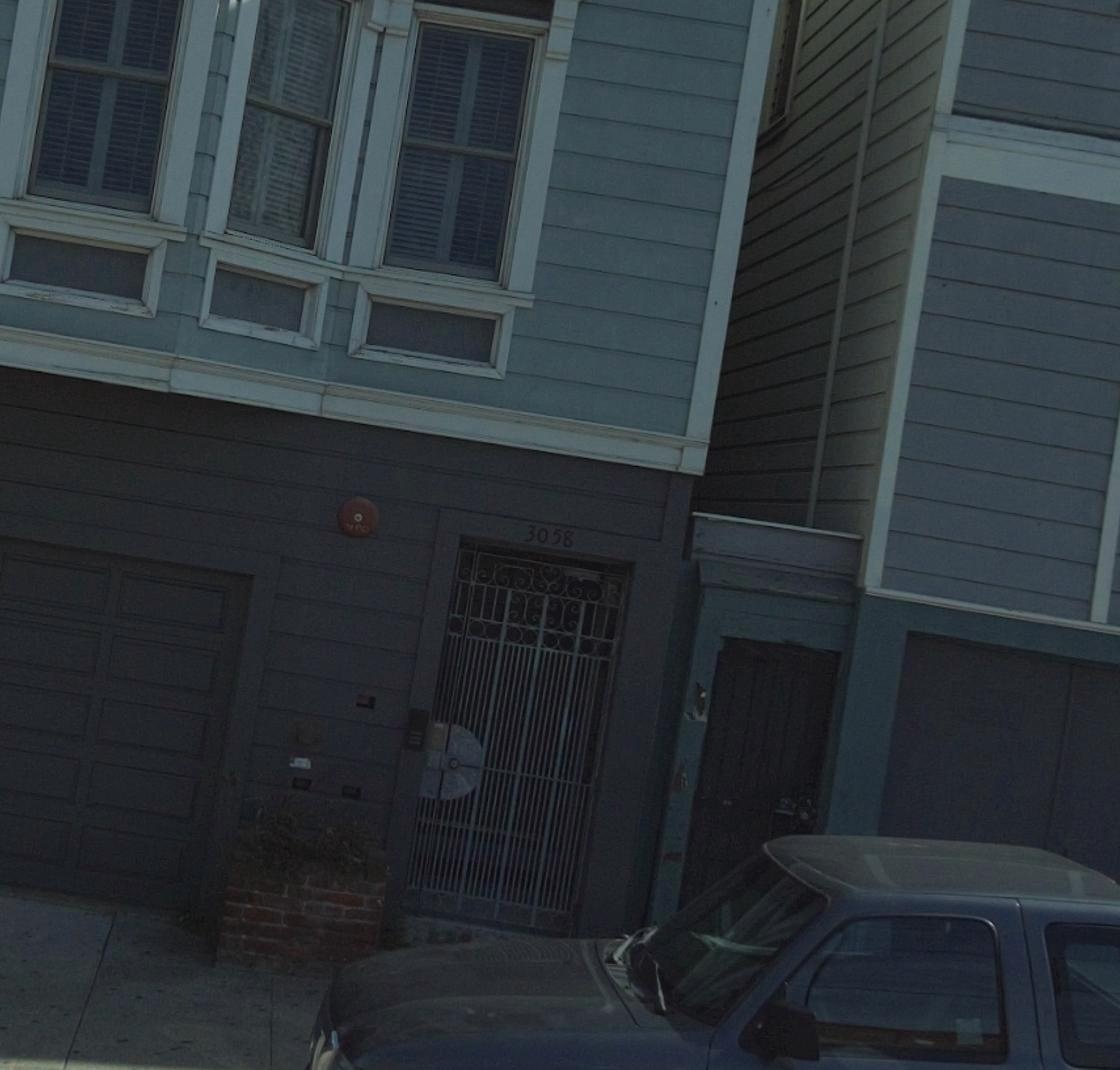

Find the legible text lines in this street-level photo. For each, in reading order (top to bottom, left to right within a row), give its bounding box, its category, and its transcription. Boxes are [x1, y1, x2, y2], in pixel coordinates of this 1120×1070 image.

[521, 522, 576, 551] StreetNumber: 3058